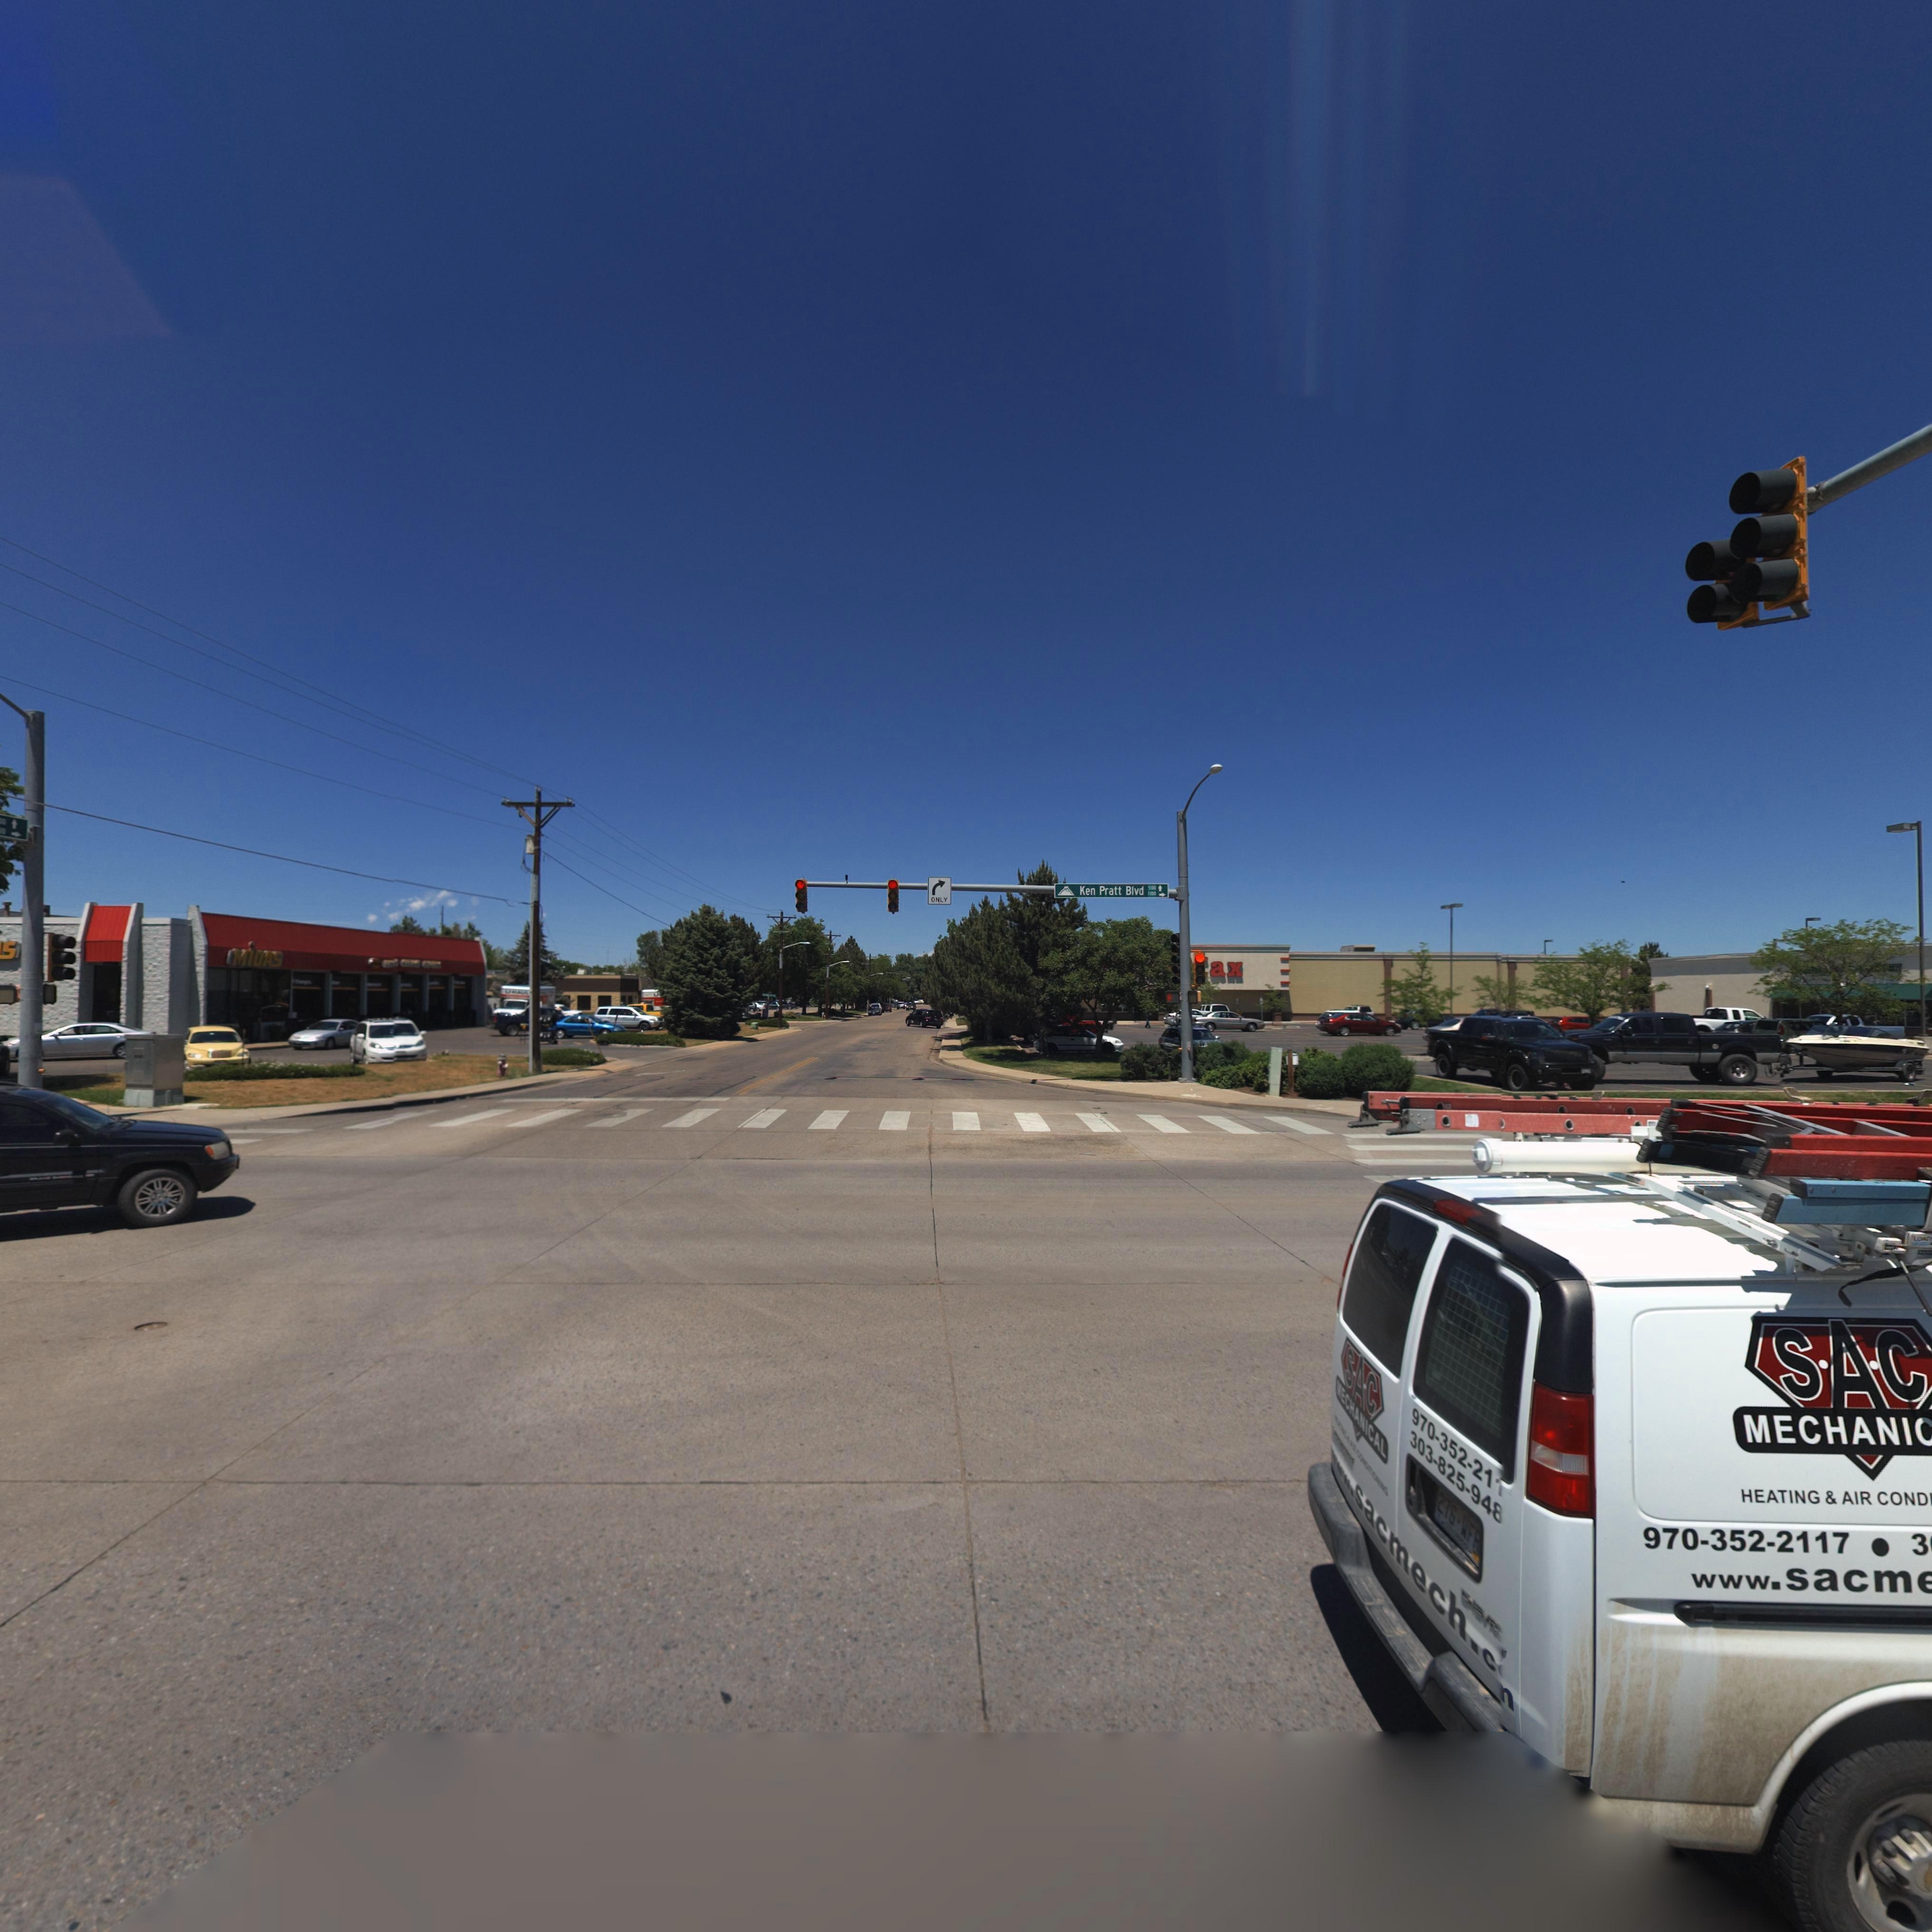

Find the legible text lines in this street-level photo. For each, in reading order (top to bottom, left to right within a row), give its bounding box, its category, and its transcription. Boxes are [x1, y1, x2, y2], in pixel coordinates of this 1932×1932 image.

[1080, 885, 1144, 895] StreetName: Ken Pratt Blvd
[1148, 885, 1156, 890] StreetNumber: 500
[1147, 891, 1166, 897] StreetNumberRange: 1100->
[231, 940, 283, 968] BusinessName: MiDAS
[1209, 961, 1243, 976] BusinessName: ax